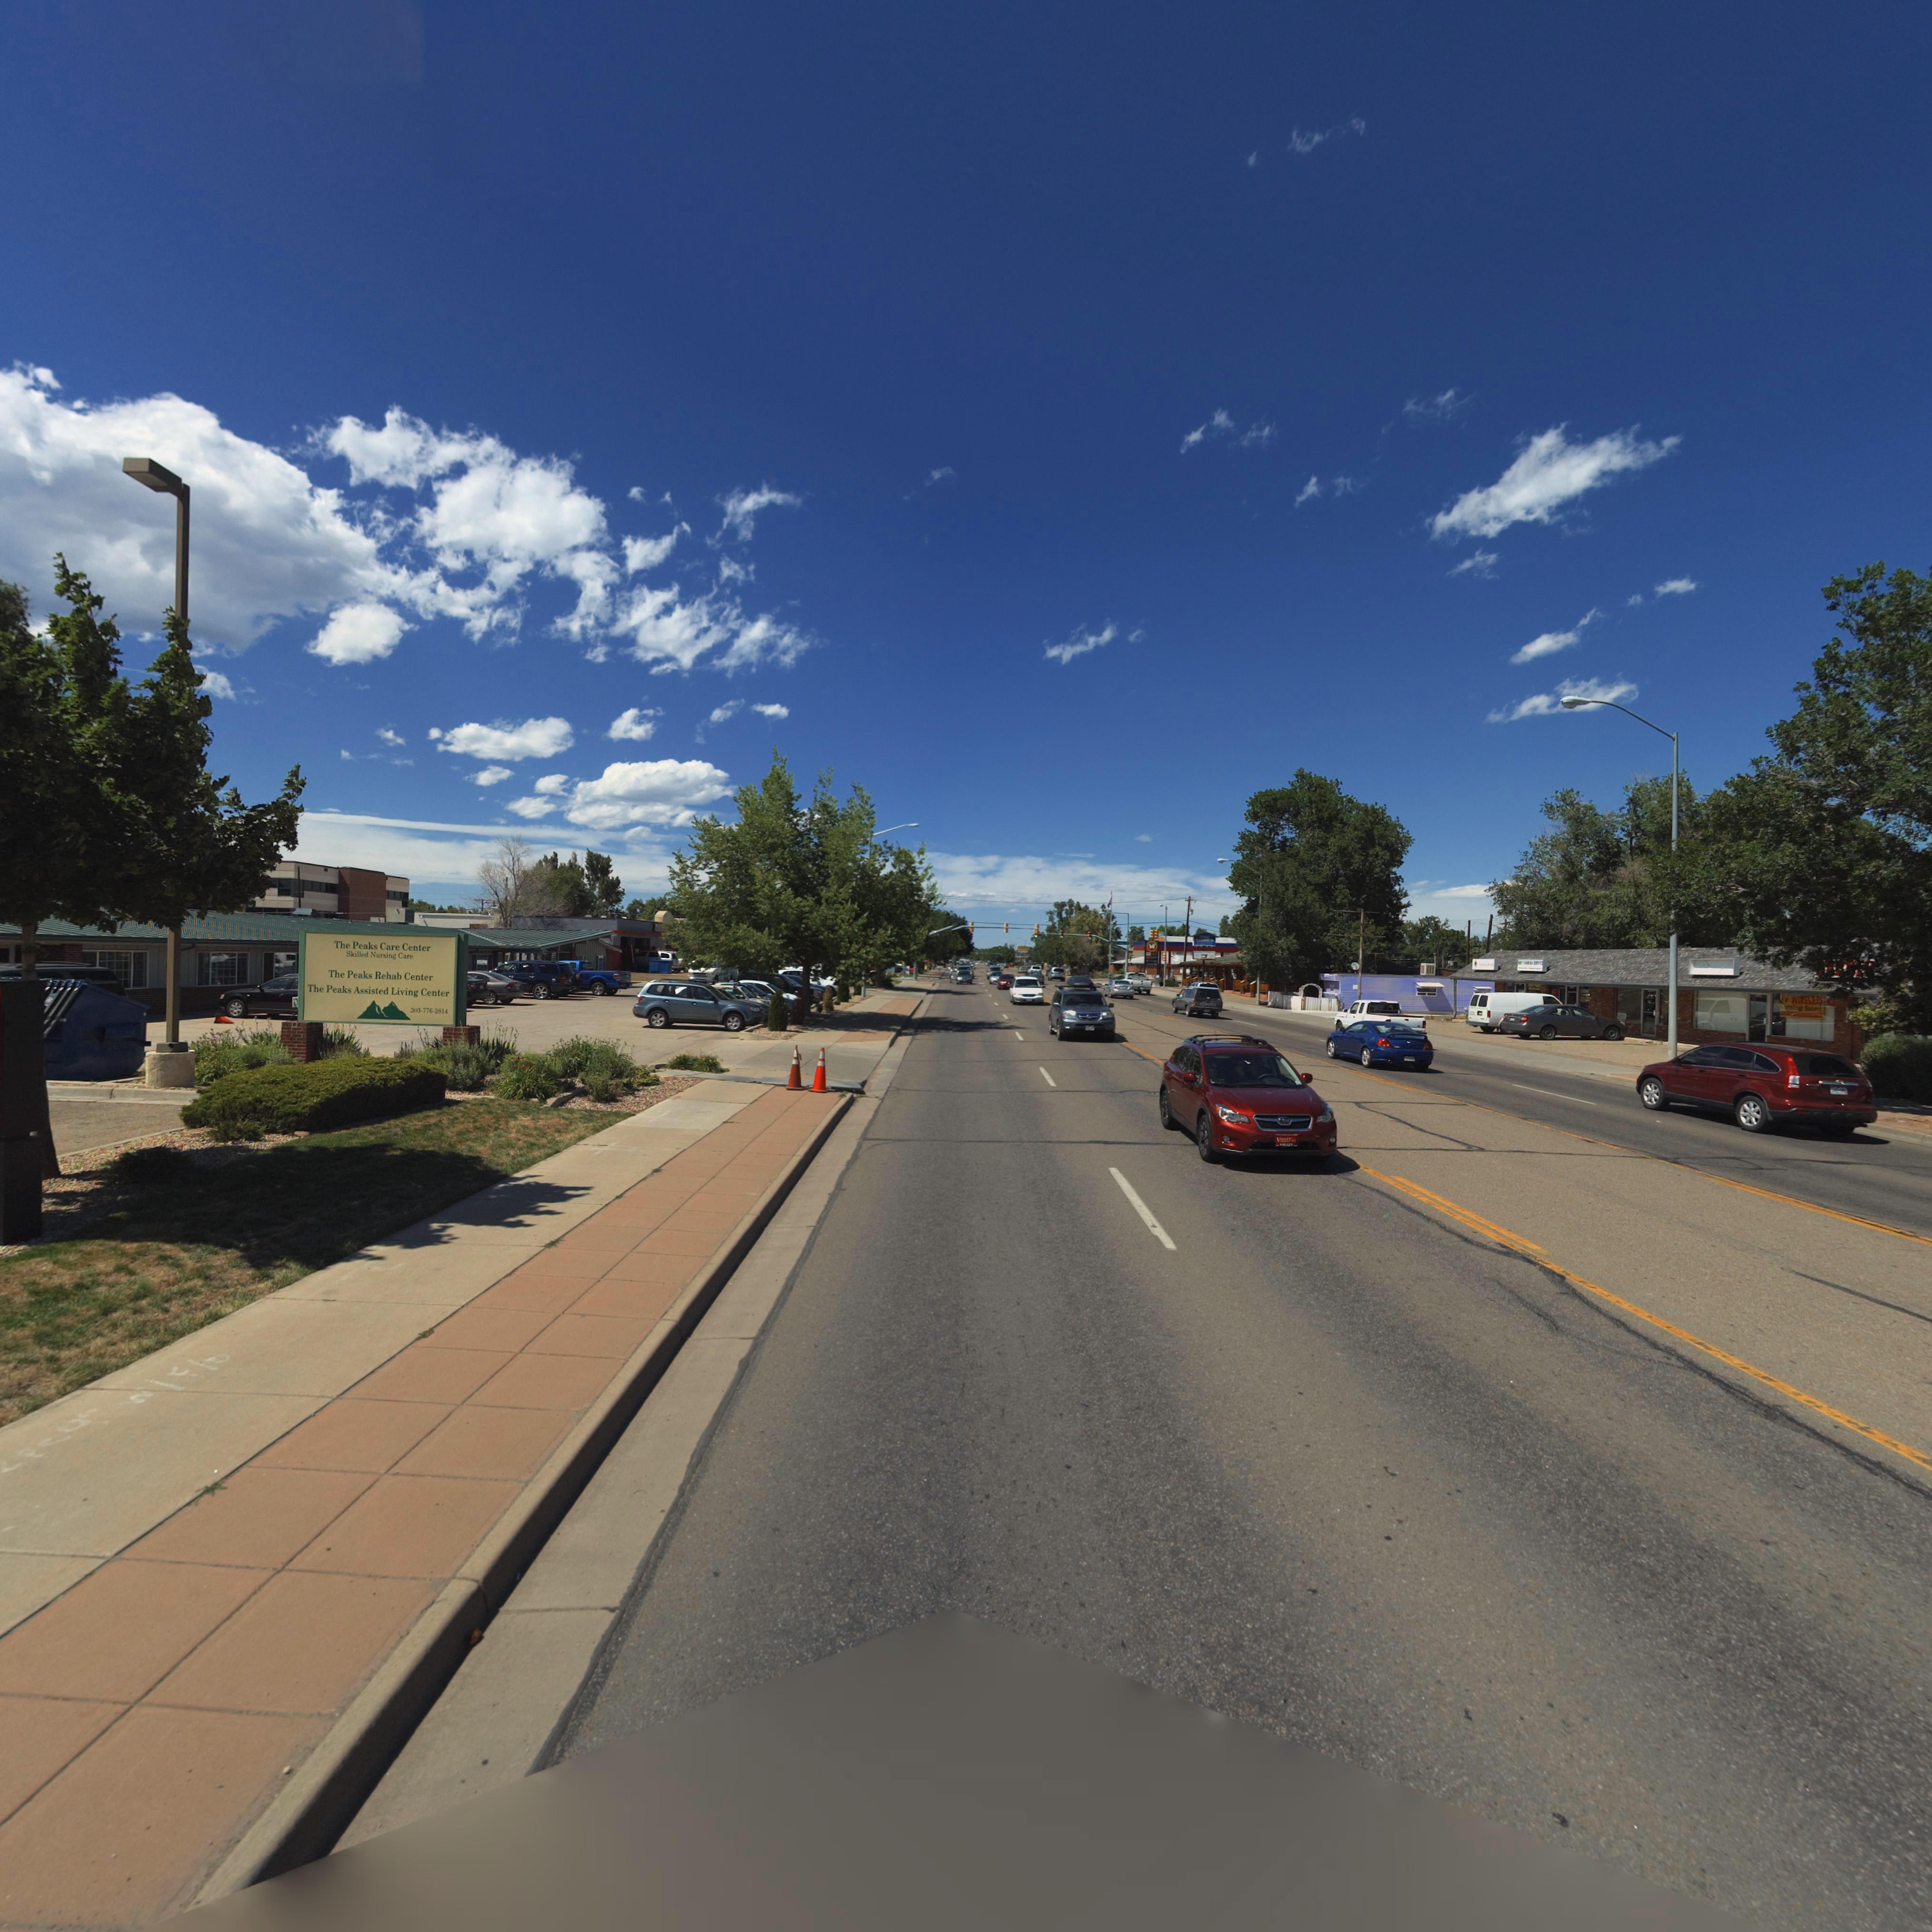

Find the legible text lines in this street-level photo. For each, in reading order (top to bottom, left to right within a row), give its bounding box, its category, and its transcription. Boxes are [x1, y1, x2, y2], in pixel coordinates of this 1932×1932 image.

[333, 940, 431, 951] BusinessName: The Peaks Care Center
[328, 970, 434, 981] BusinessName: The Peaks Rehab Center
[307, 985, 450, 997] BusinessName:  he Peaks Assisted Living Center